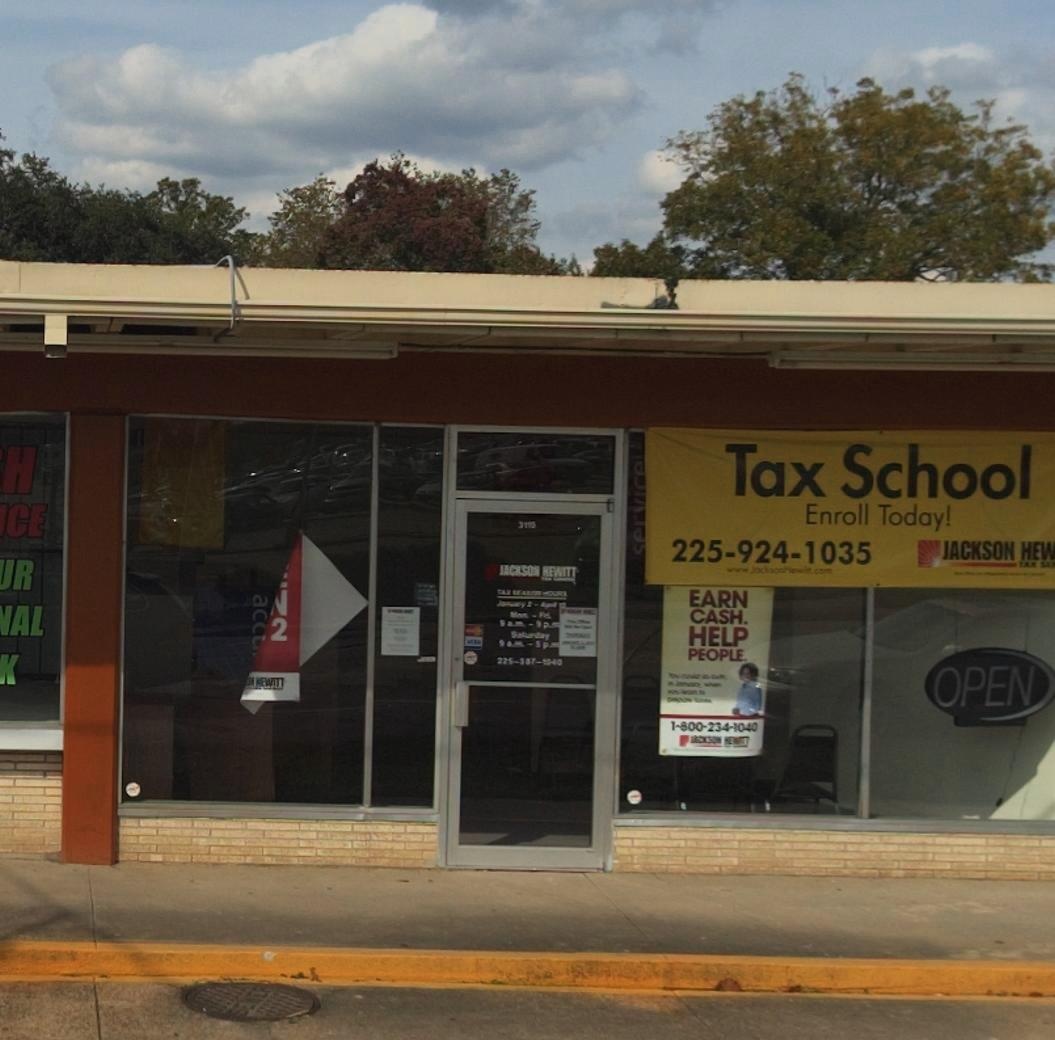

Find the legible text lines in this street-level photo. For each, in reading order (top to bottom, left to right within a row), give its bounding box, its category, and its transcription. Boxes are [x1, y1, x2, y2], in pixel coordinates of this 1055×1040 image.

[0, 440, 40, 499] None: H
[720, 437, 1038, 501] None: Tax School
[3, 500, 48, 540] None: CE
[516, 518, 539, 531] StreetNumber: 3115
[802, 500, 954, 533] None: Enroll Today!
[670, 536, 875, 566] None: 225-924-1035
[940, 538, 1044, 561] BusinessName: JACKSON HE
[10, 554, 37, 595] None: R
[497, 562, 577, 579] BusinessName: JACKSON HEWITT
[724, 564, 833, 575] None: www.jacksonhewitt.com
[688, 587, 750, 609] None: EARN
[5, 602, 47, 638] None: AL
[689, 608, 748, 625] None: CASH.
[687, 624, 750, 648] None: HELP
[686, 648, 748, 663] None: PEOPLE
[254, 675, 285, 690] BusinessName: HEWITT
[930, 664, 1042, 708] None: OPEN
[668, 719, 759, 733] None: 1-800-234-1040
[689, 734, 750, 748] BusinessName: JACKSON HEWITT